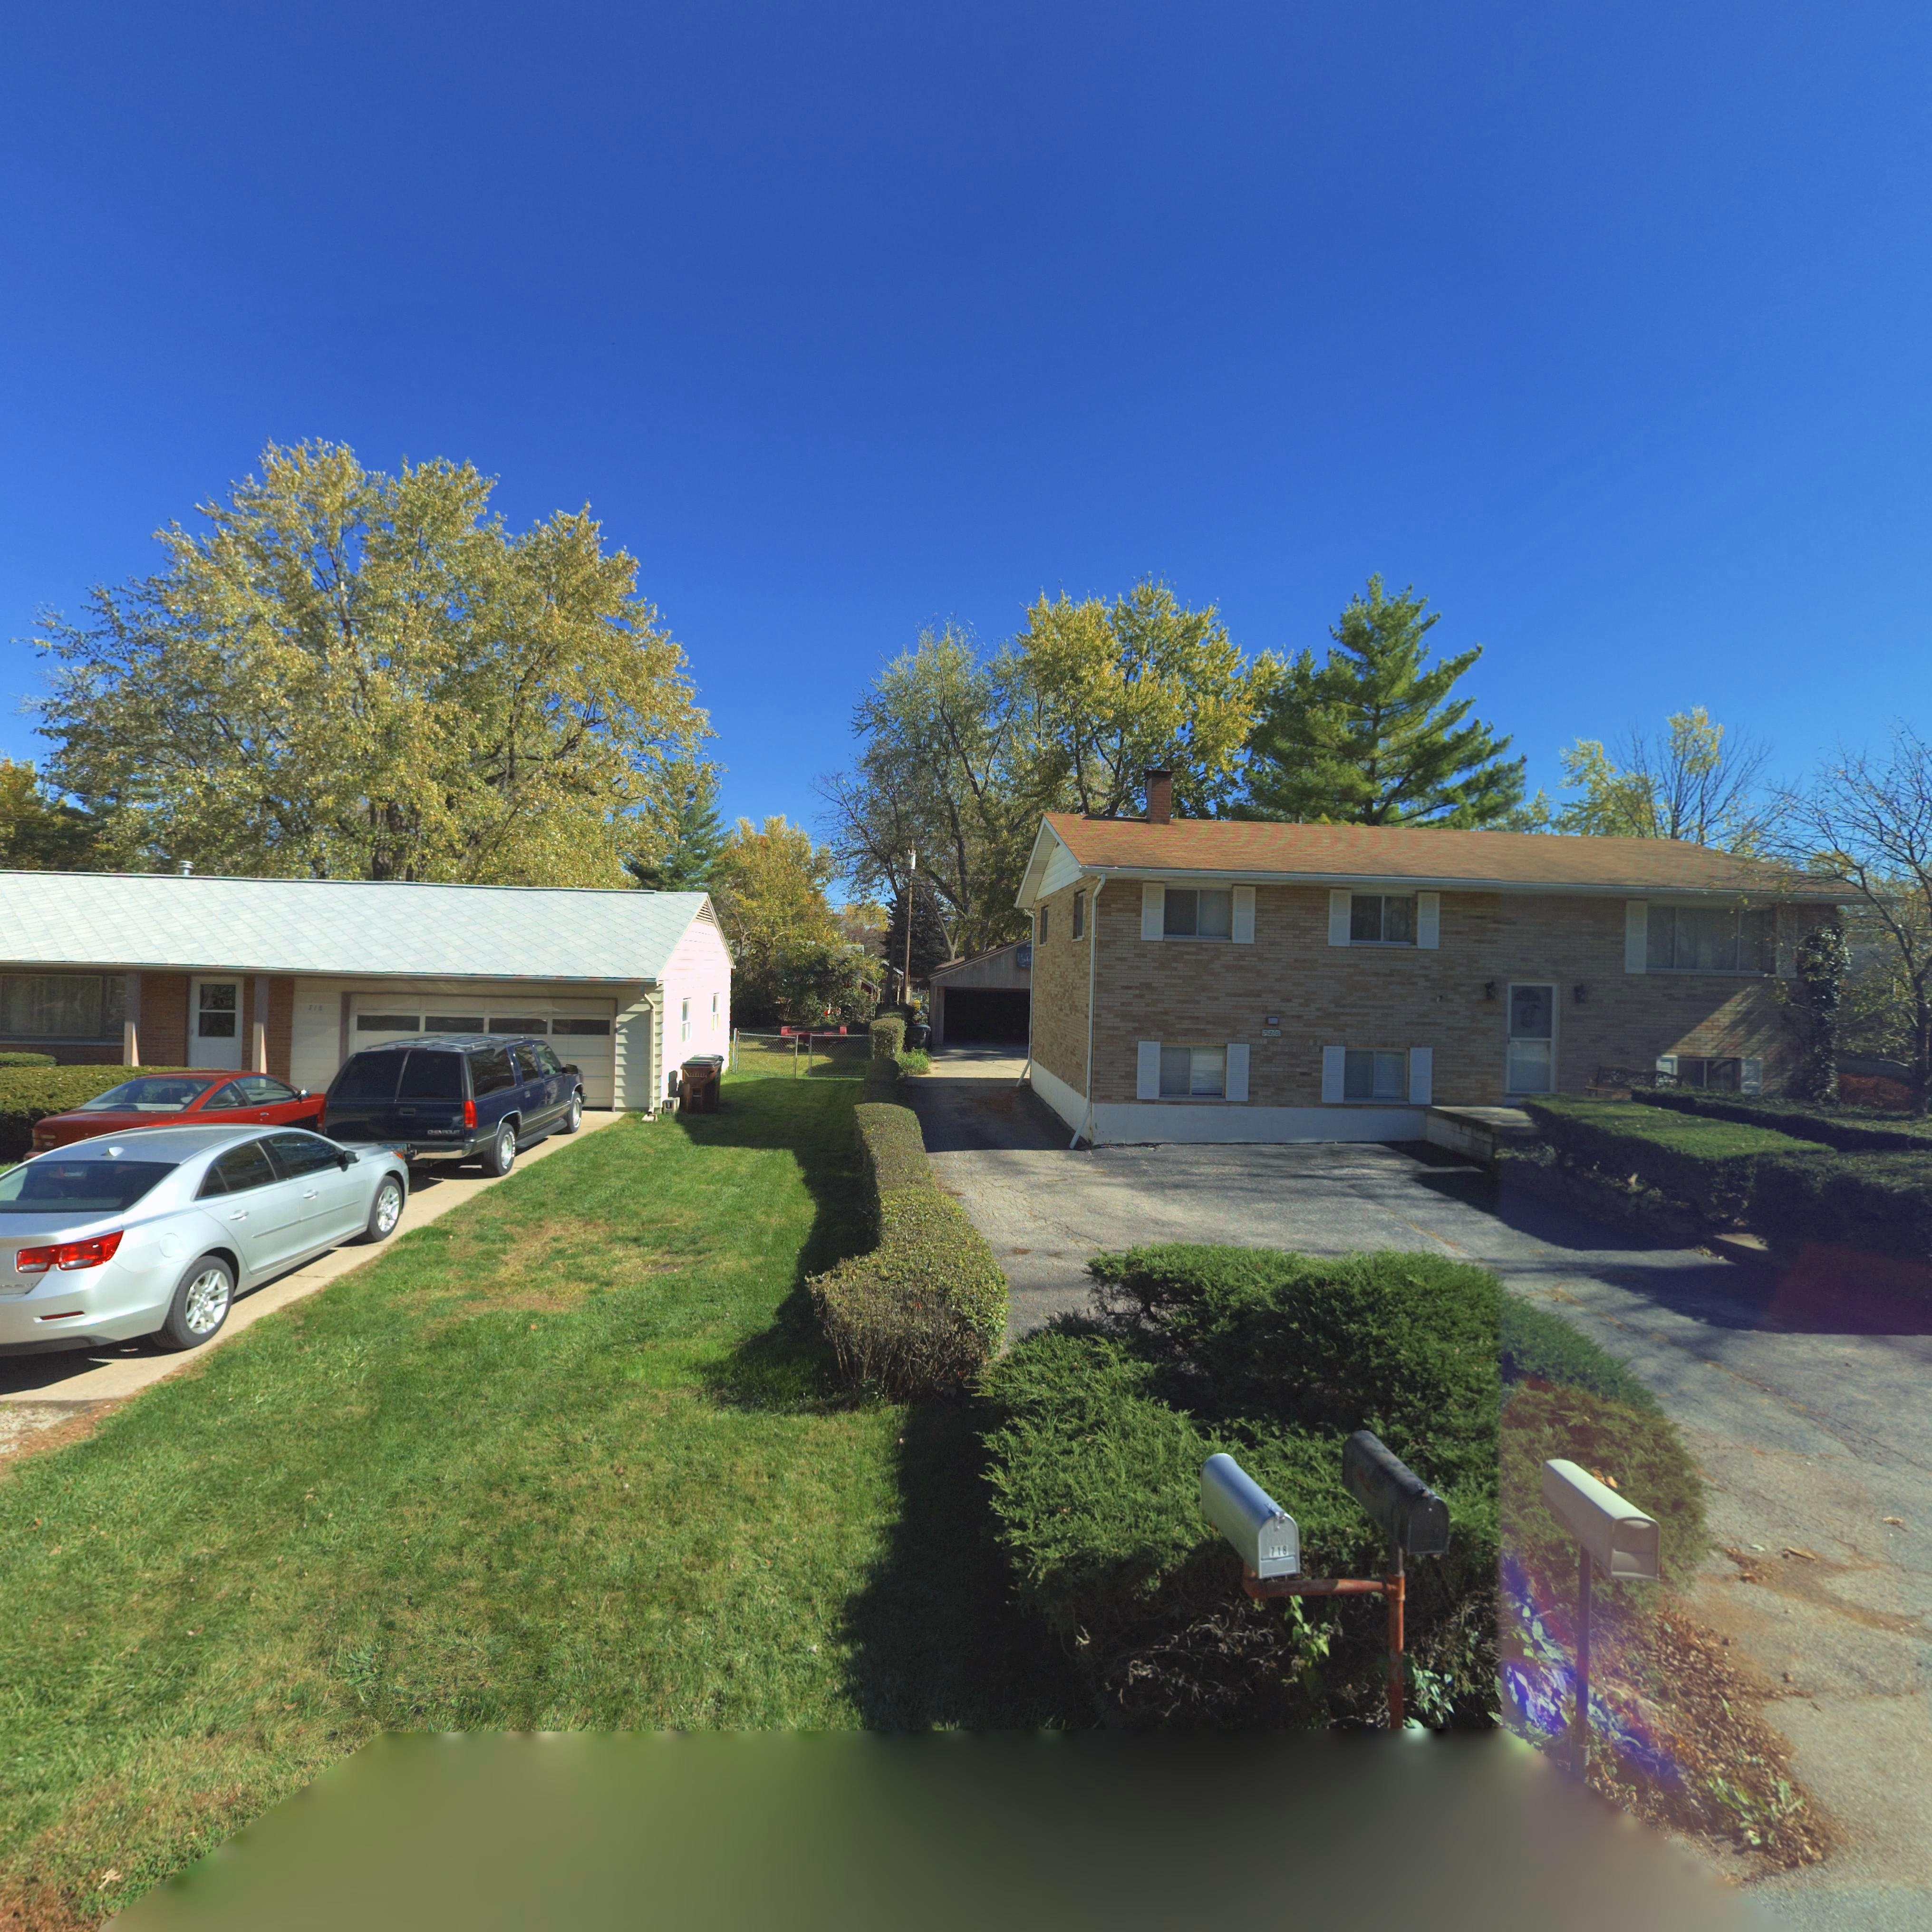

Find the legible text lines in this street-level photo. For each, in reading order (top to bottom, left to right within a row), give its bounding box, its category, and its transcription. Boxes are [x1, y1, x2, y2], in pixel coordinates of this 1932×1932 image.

[308, 1004, 322, 1011] StreetNumber: 718
[1263, 1030, 1279, 1036] StreetNumber: **0
[1269, 1544, 1288, 1557] StreetNumber: 718